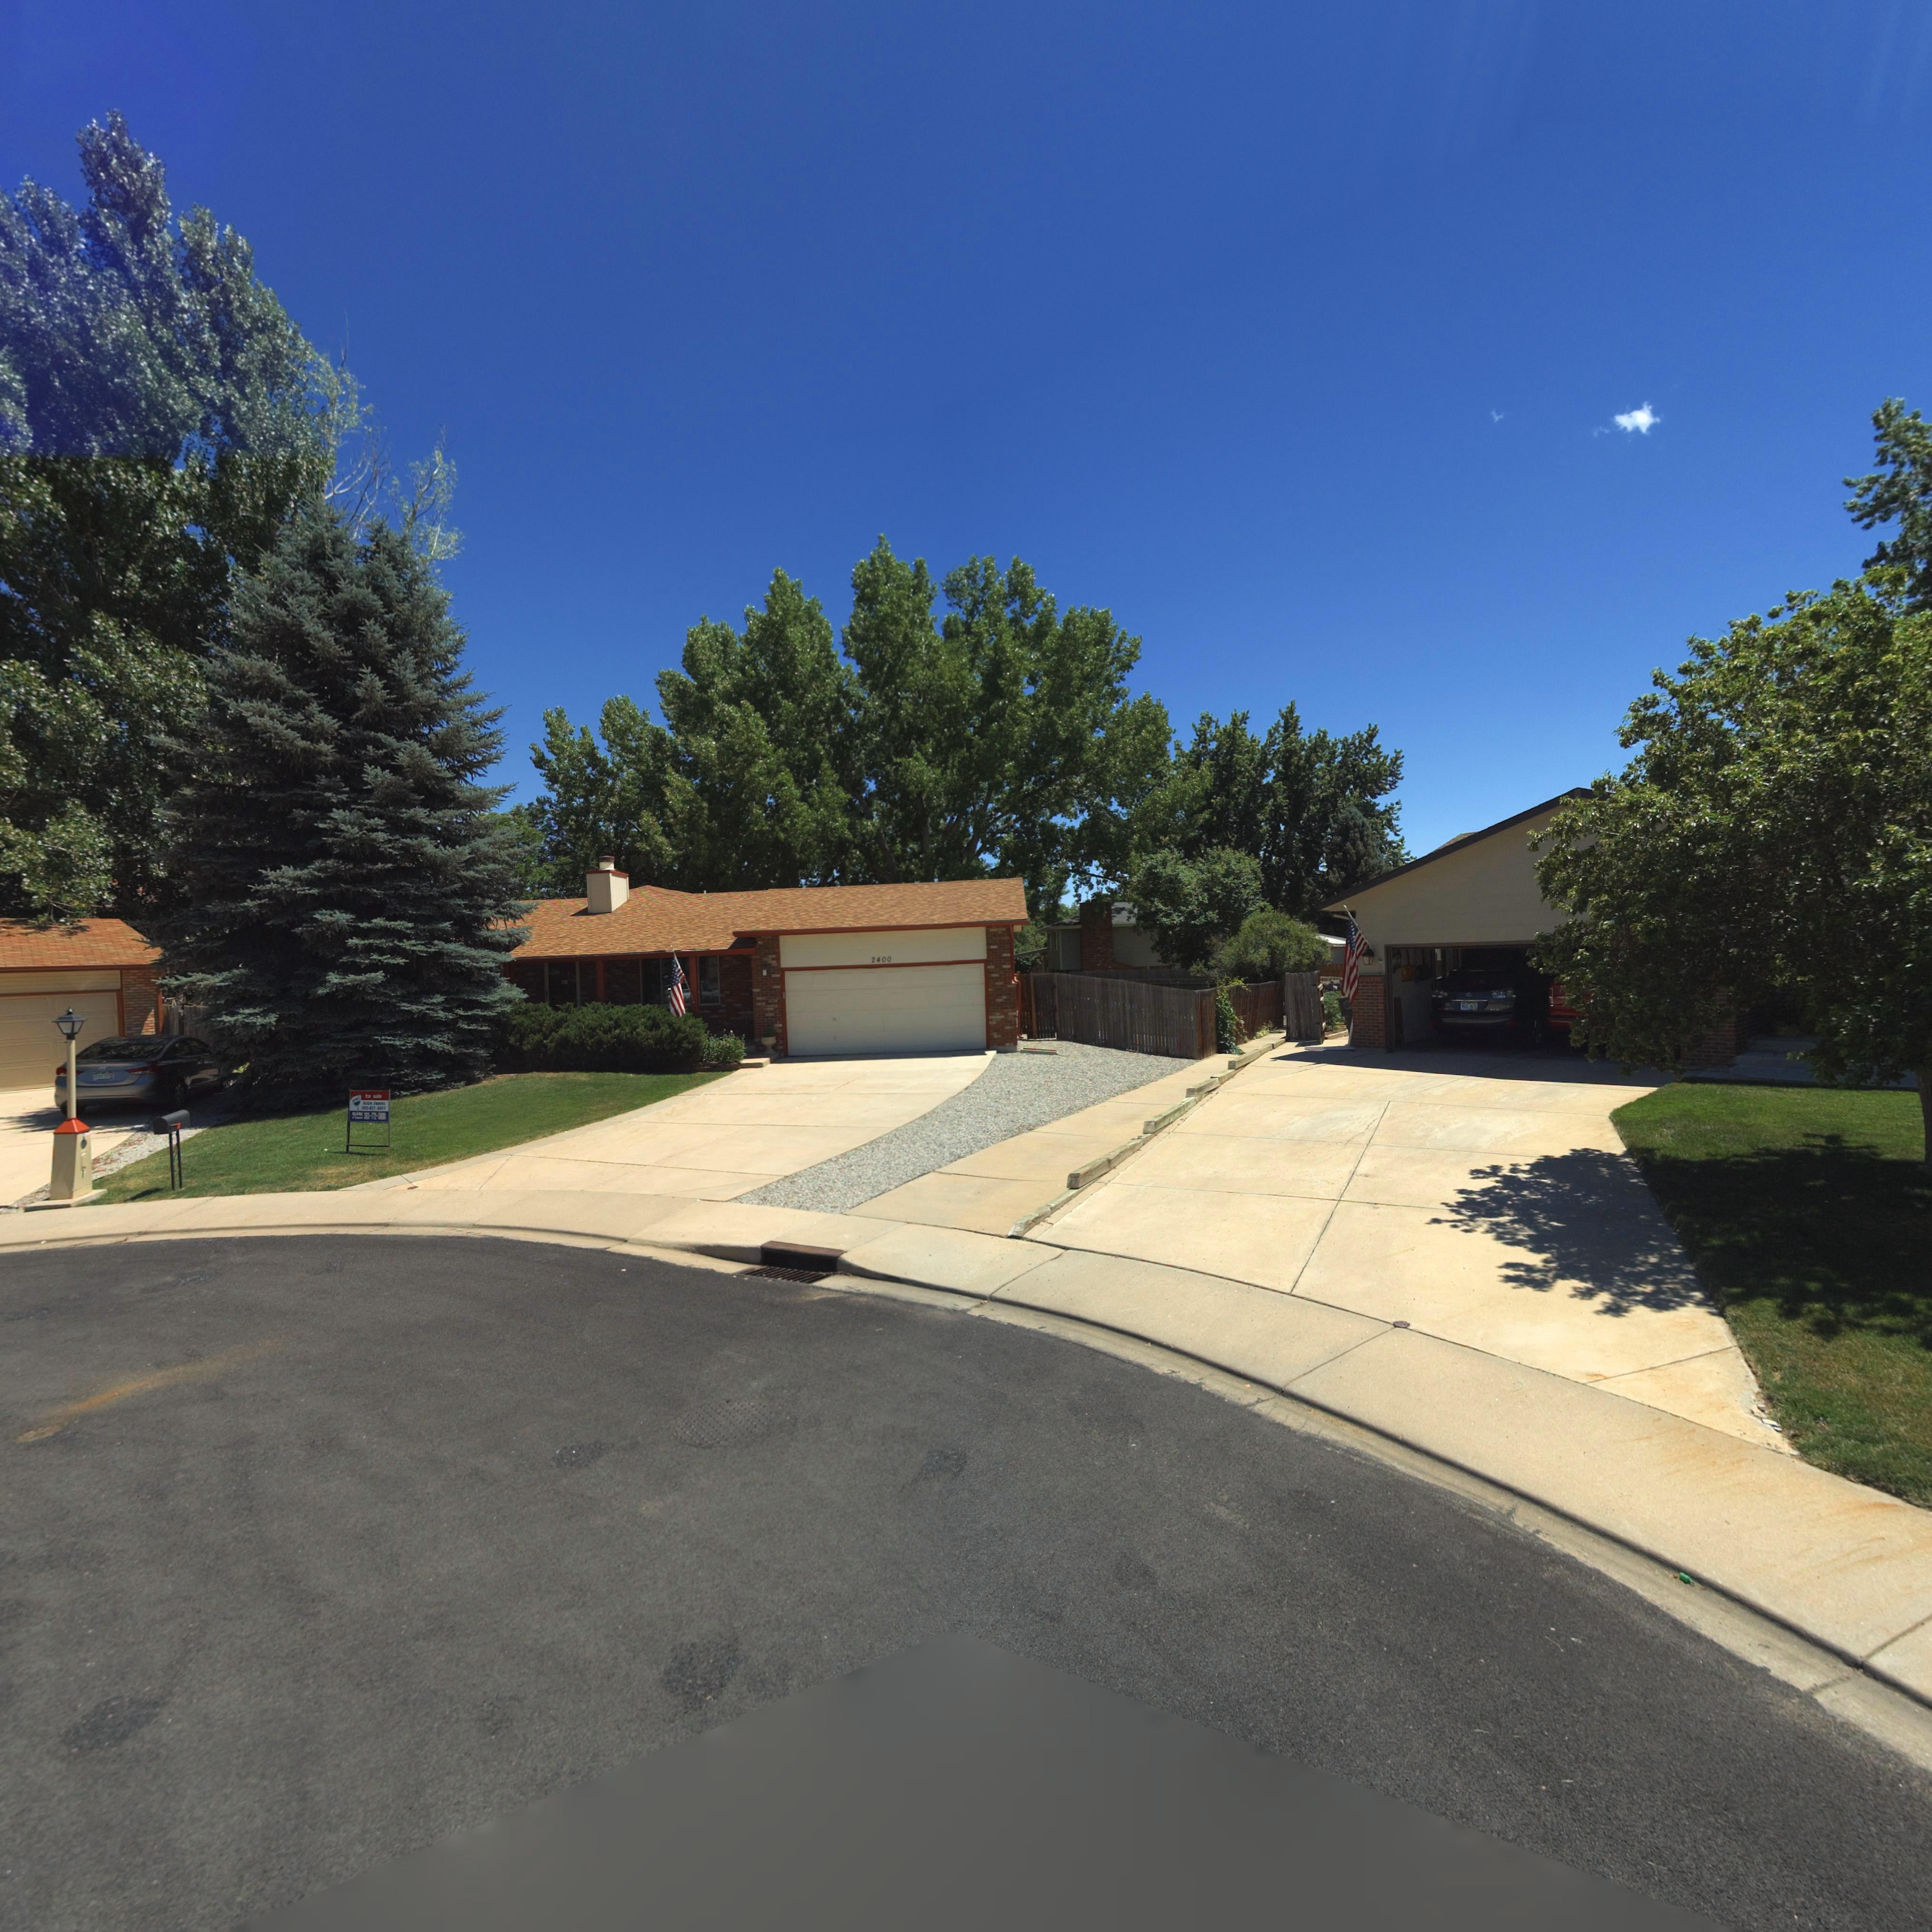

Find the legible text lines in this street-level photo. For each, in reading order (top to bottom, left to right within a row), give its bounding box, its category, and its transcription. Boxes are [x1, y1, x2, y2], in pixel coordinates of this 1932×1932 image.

[871, 956, 891, 962] StreetNumber: 2400